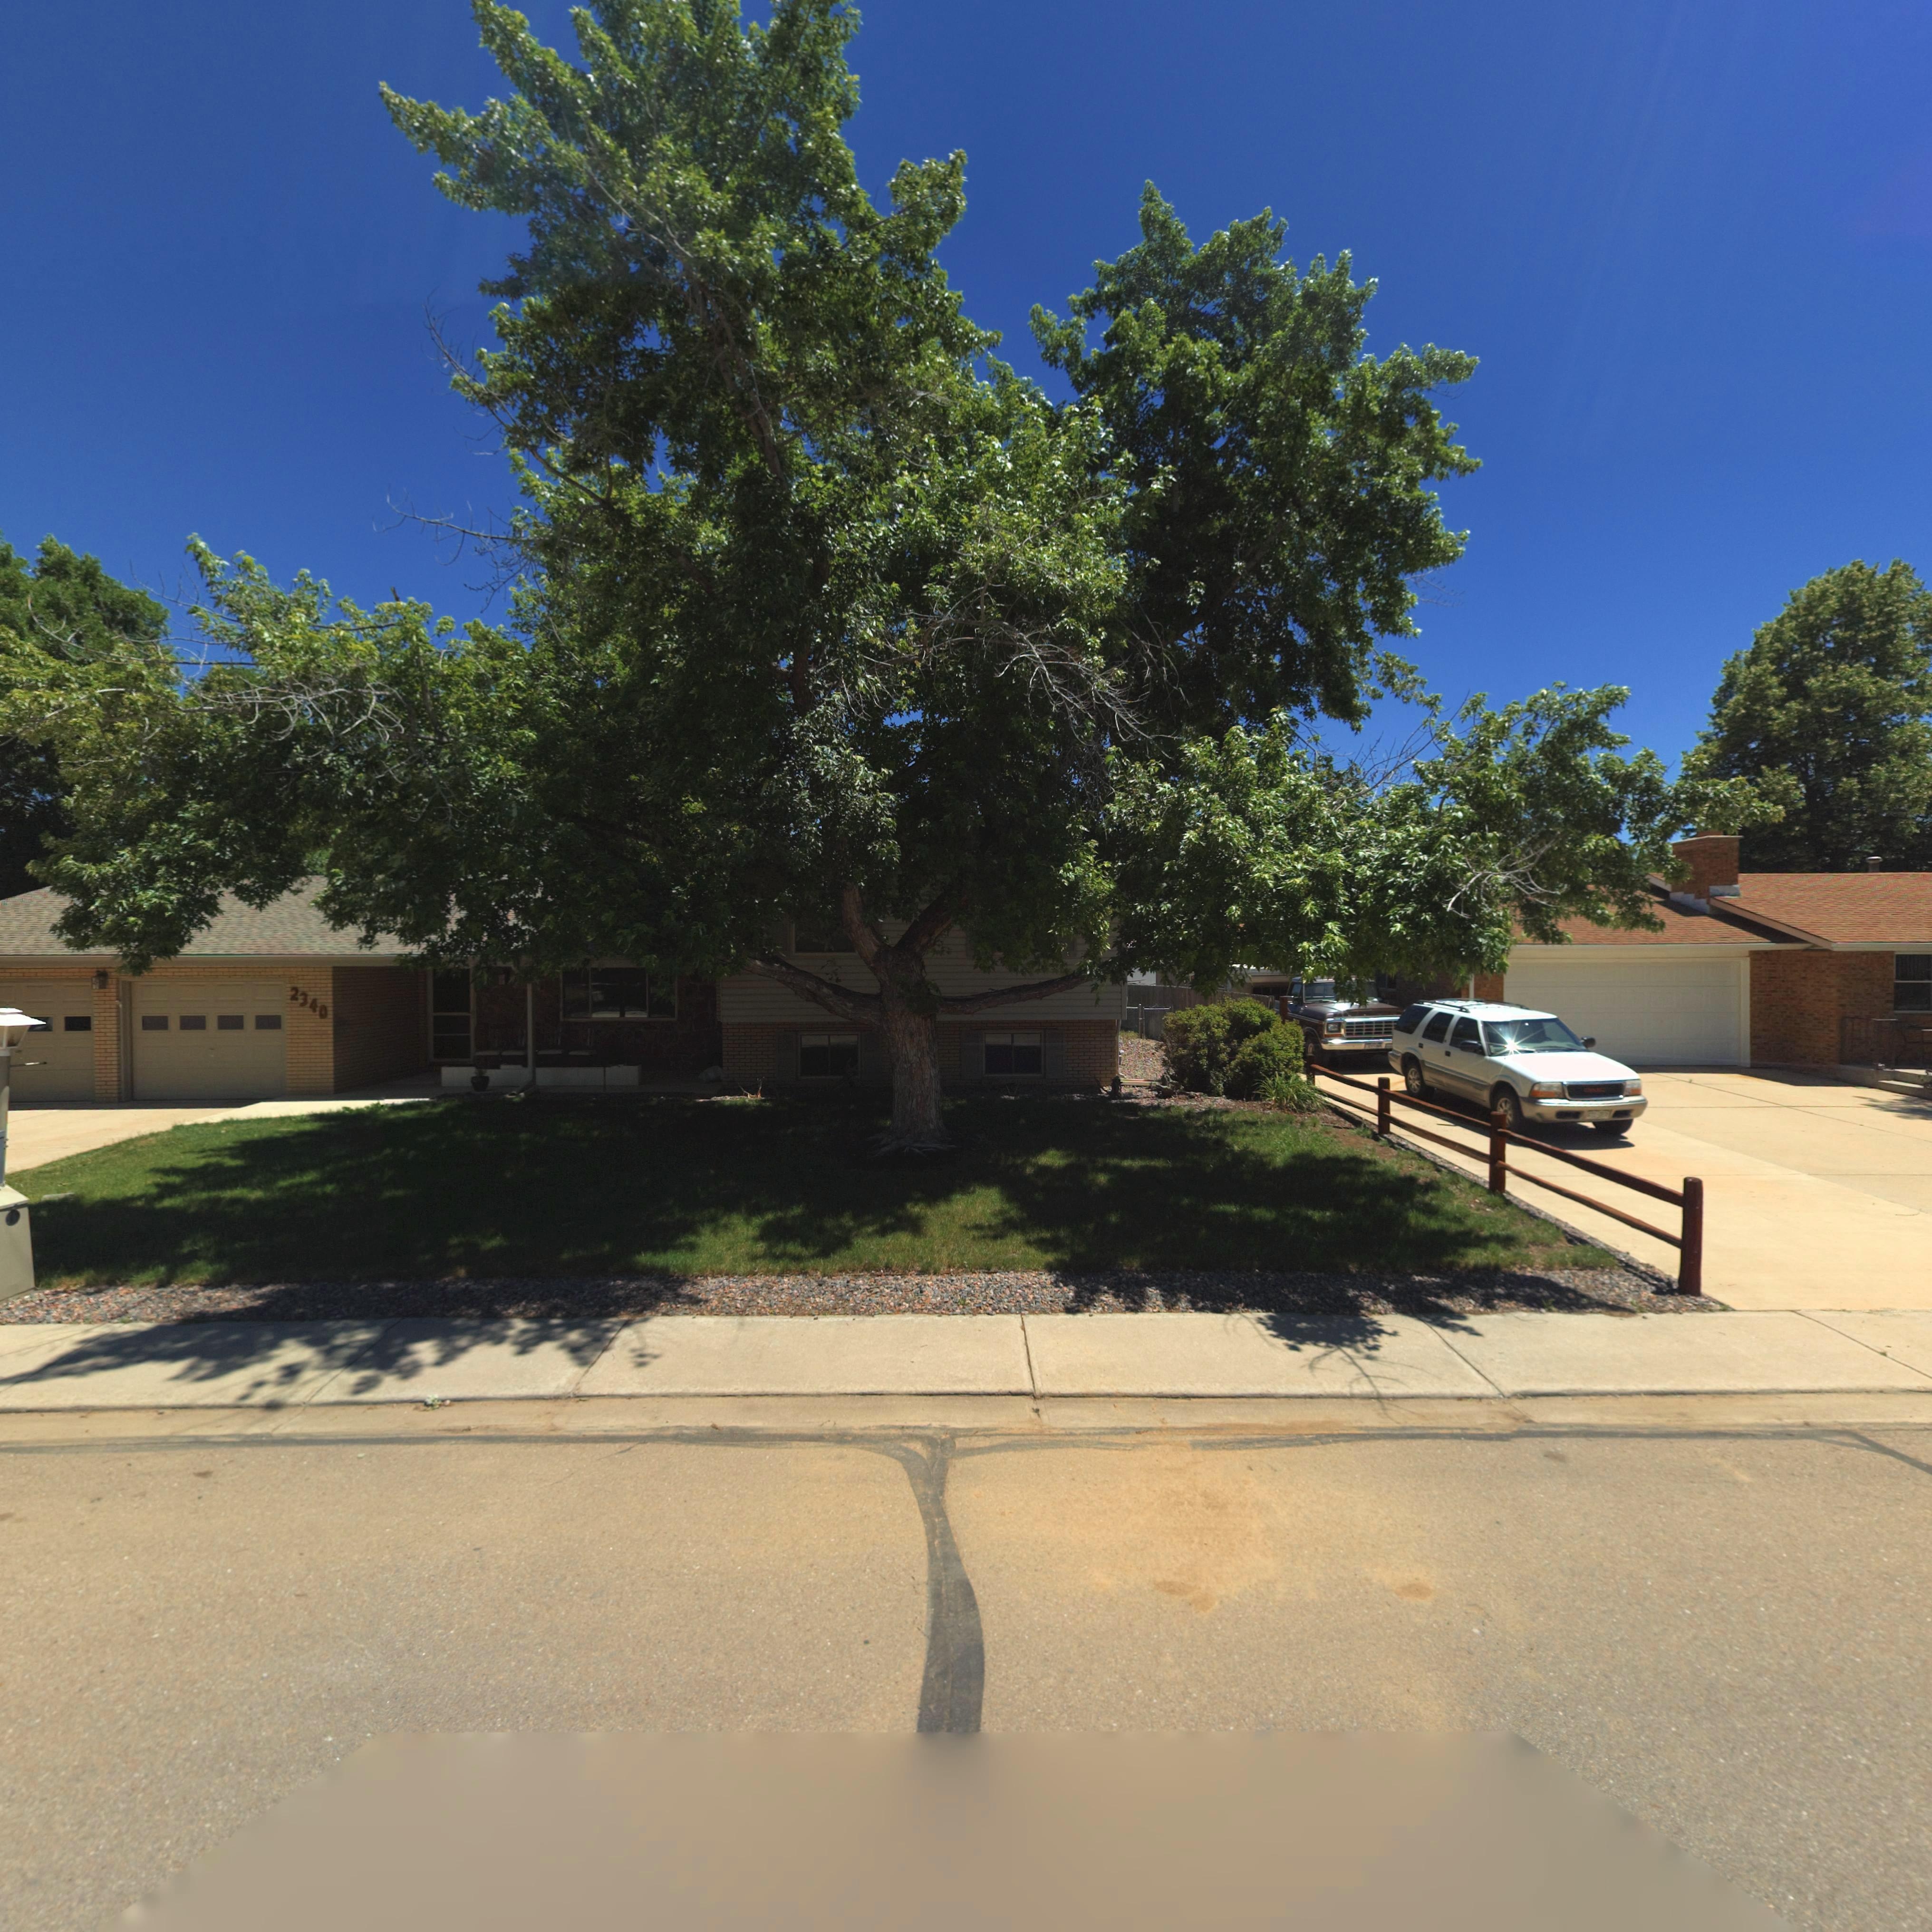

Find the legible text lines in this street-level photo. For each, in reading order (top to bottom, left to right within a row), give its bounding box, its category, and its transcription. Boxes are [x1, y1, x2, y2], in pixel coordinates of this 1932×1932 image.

[288, 984, 328, 1020] StreetNumber: 2340